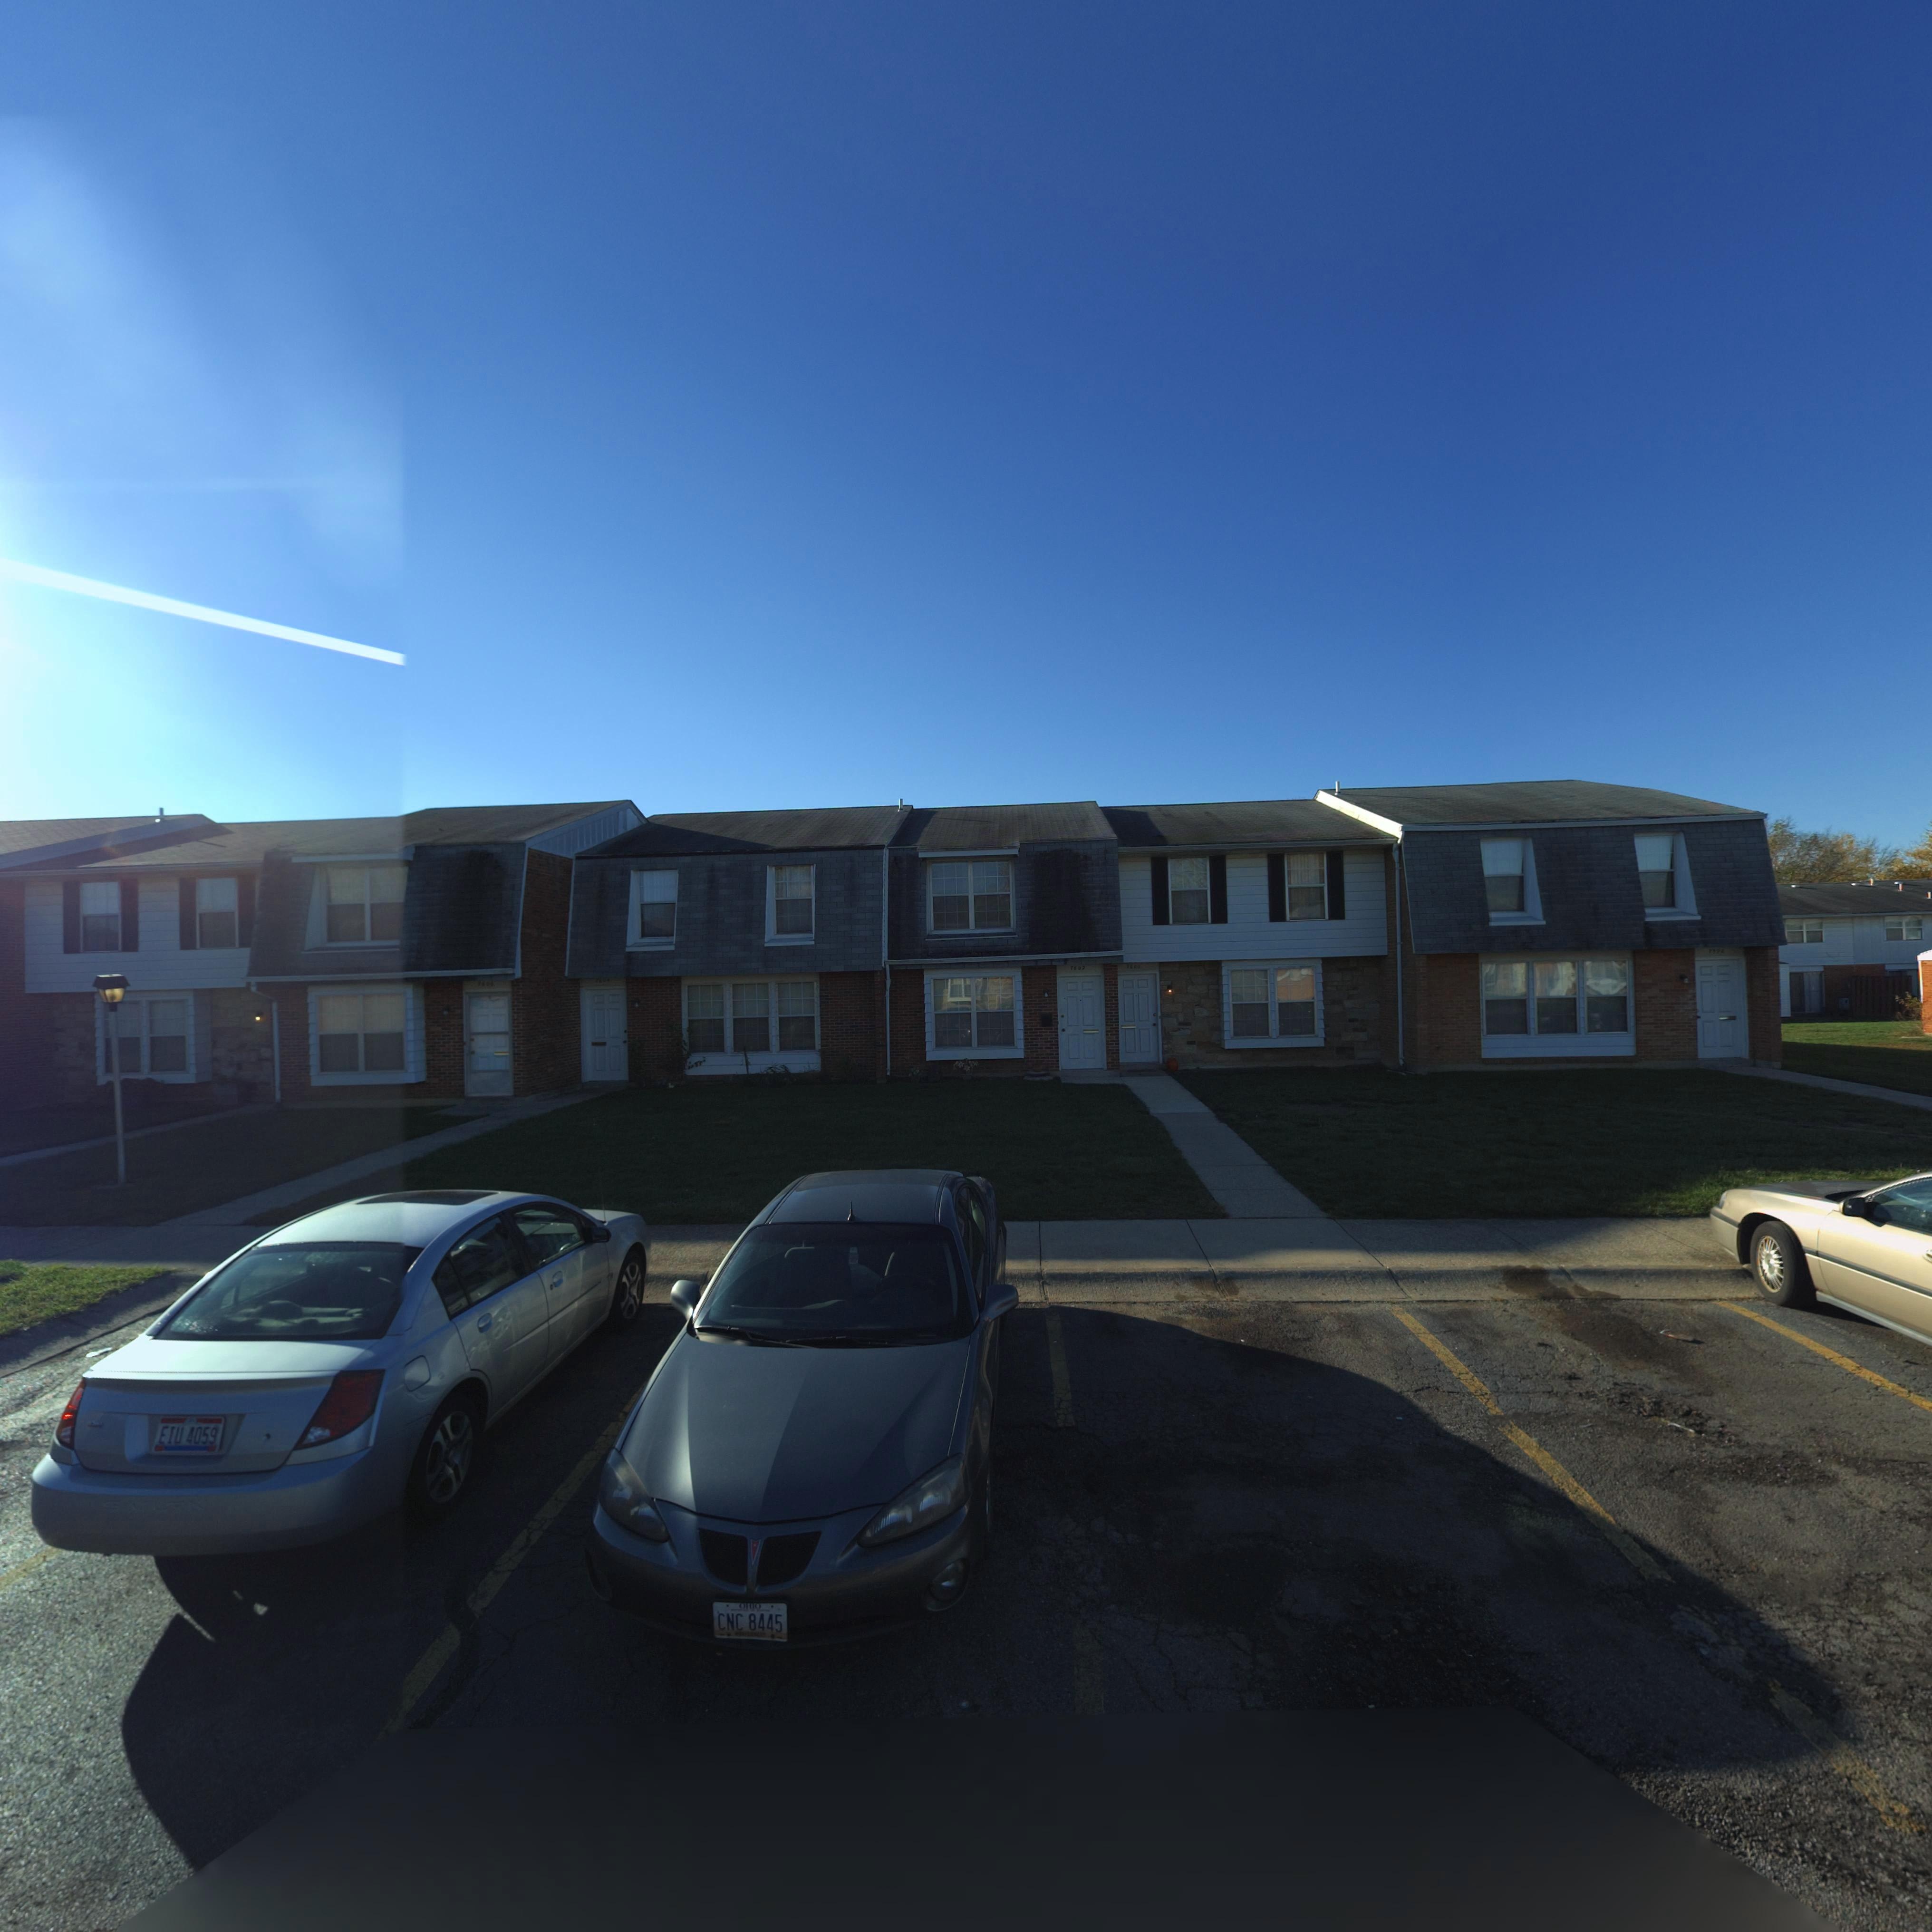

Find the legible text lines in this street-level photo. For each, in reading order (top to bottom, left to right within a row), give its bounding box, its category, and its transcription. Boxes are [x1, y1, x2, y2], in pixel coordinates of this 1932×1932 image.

[1708, 948, 1725, 954] StreetNumber: 7598
[1070, 965, 1085, 971] StreetNumber: 7602
[1125, 964, 1141, 969] StreetNumber: 7600
[595, 977, 611, 984] StreetNumber: 7624
[476, 981, 494, 987] StreetNumber: 7626